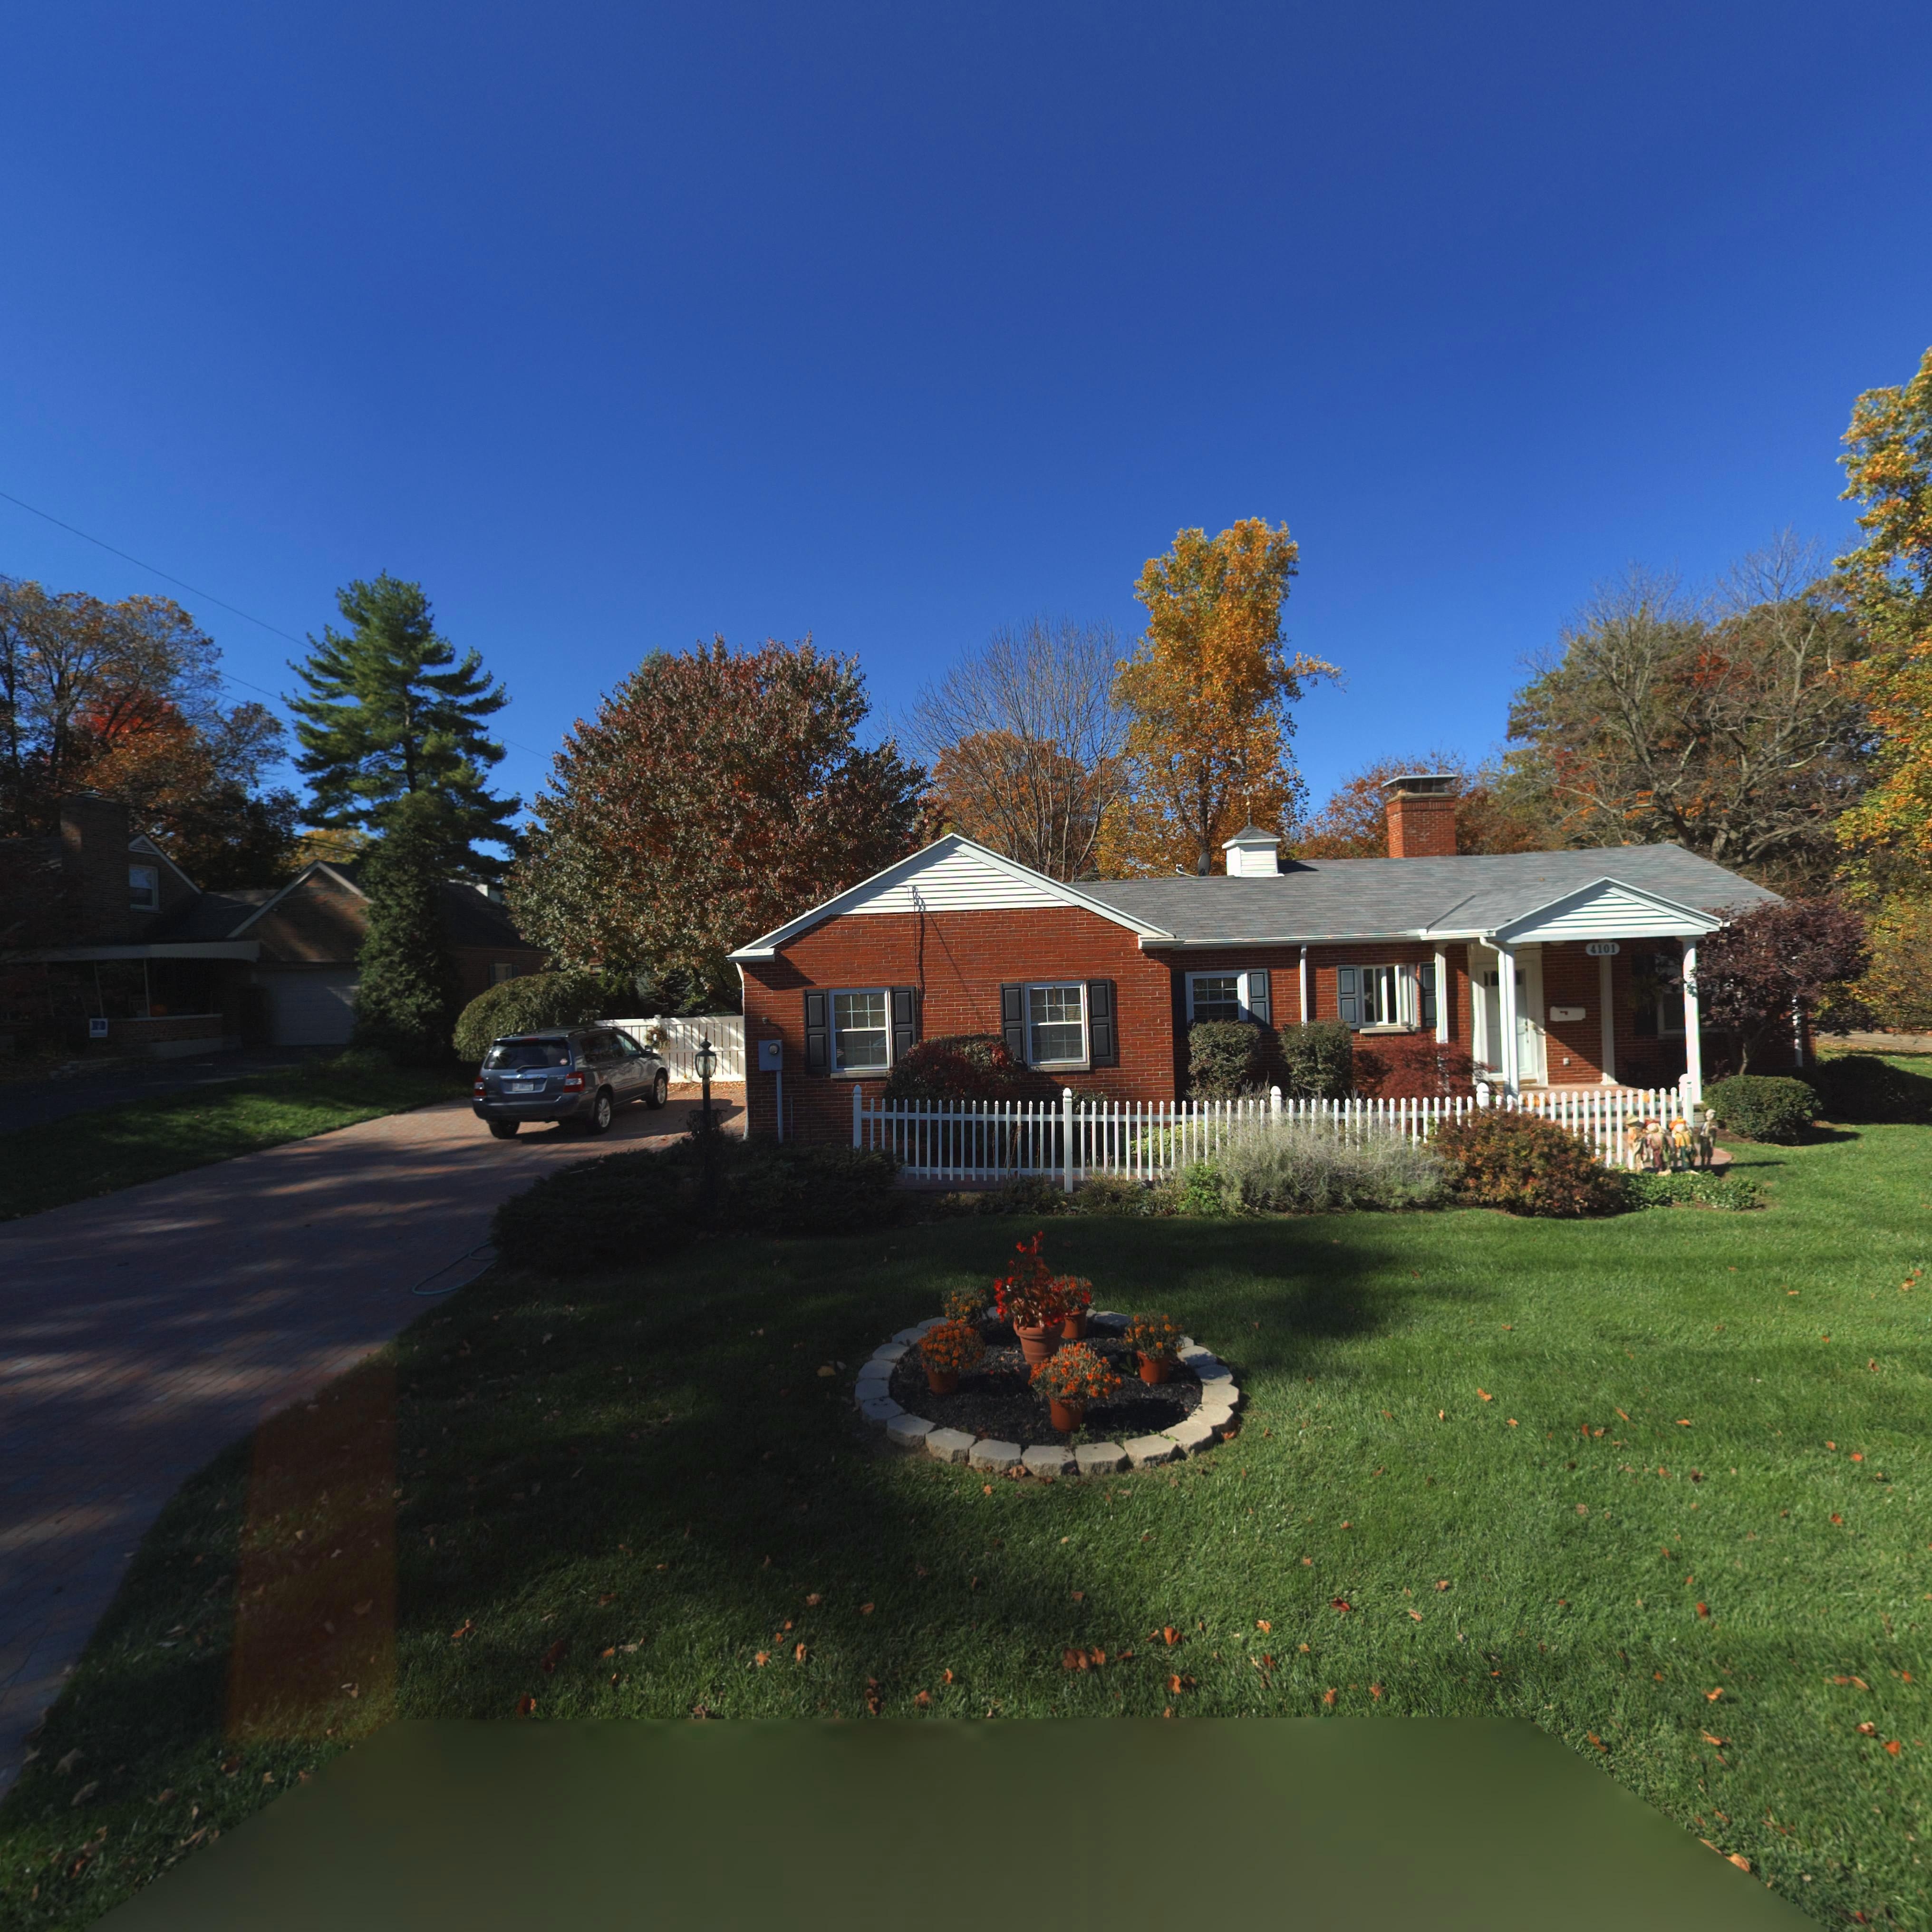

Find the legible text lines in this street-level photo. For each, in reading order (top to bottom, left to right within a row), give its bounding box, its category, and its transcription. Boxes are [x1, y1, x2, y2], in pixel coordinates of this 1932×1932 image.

[1588, 943, 1617, 955] StreetNumber: 4101